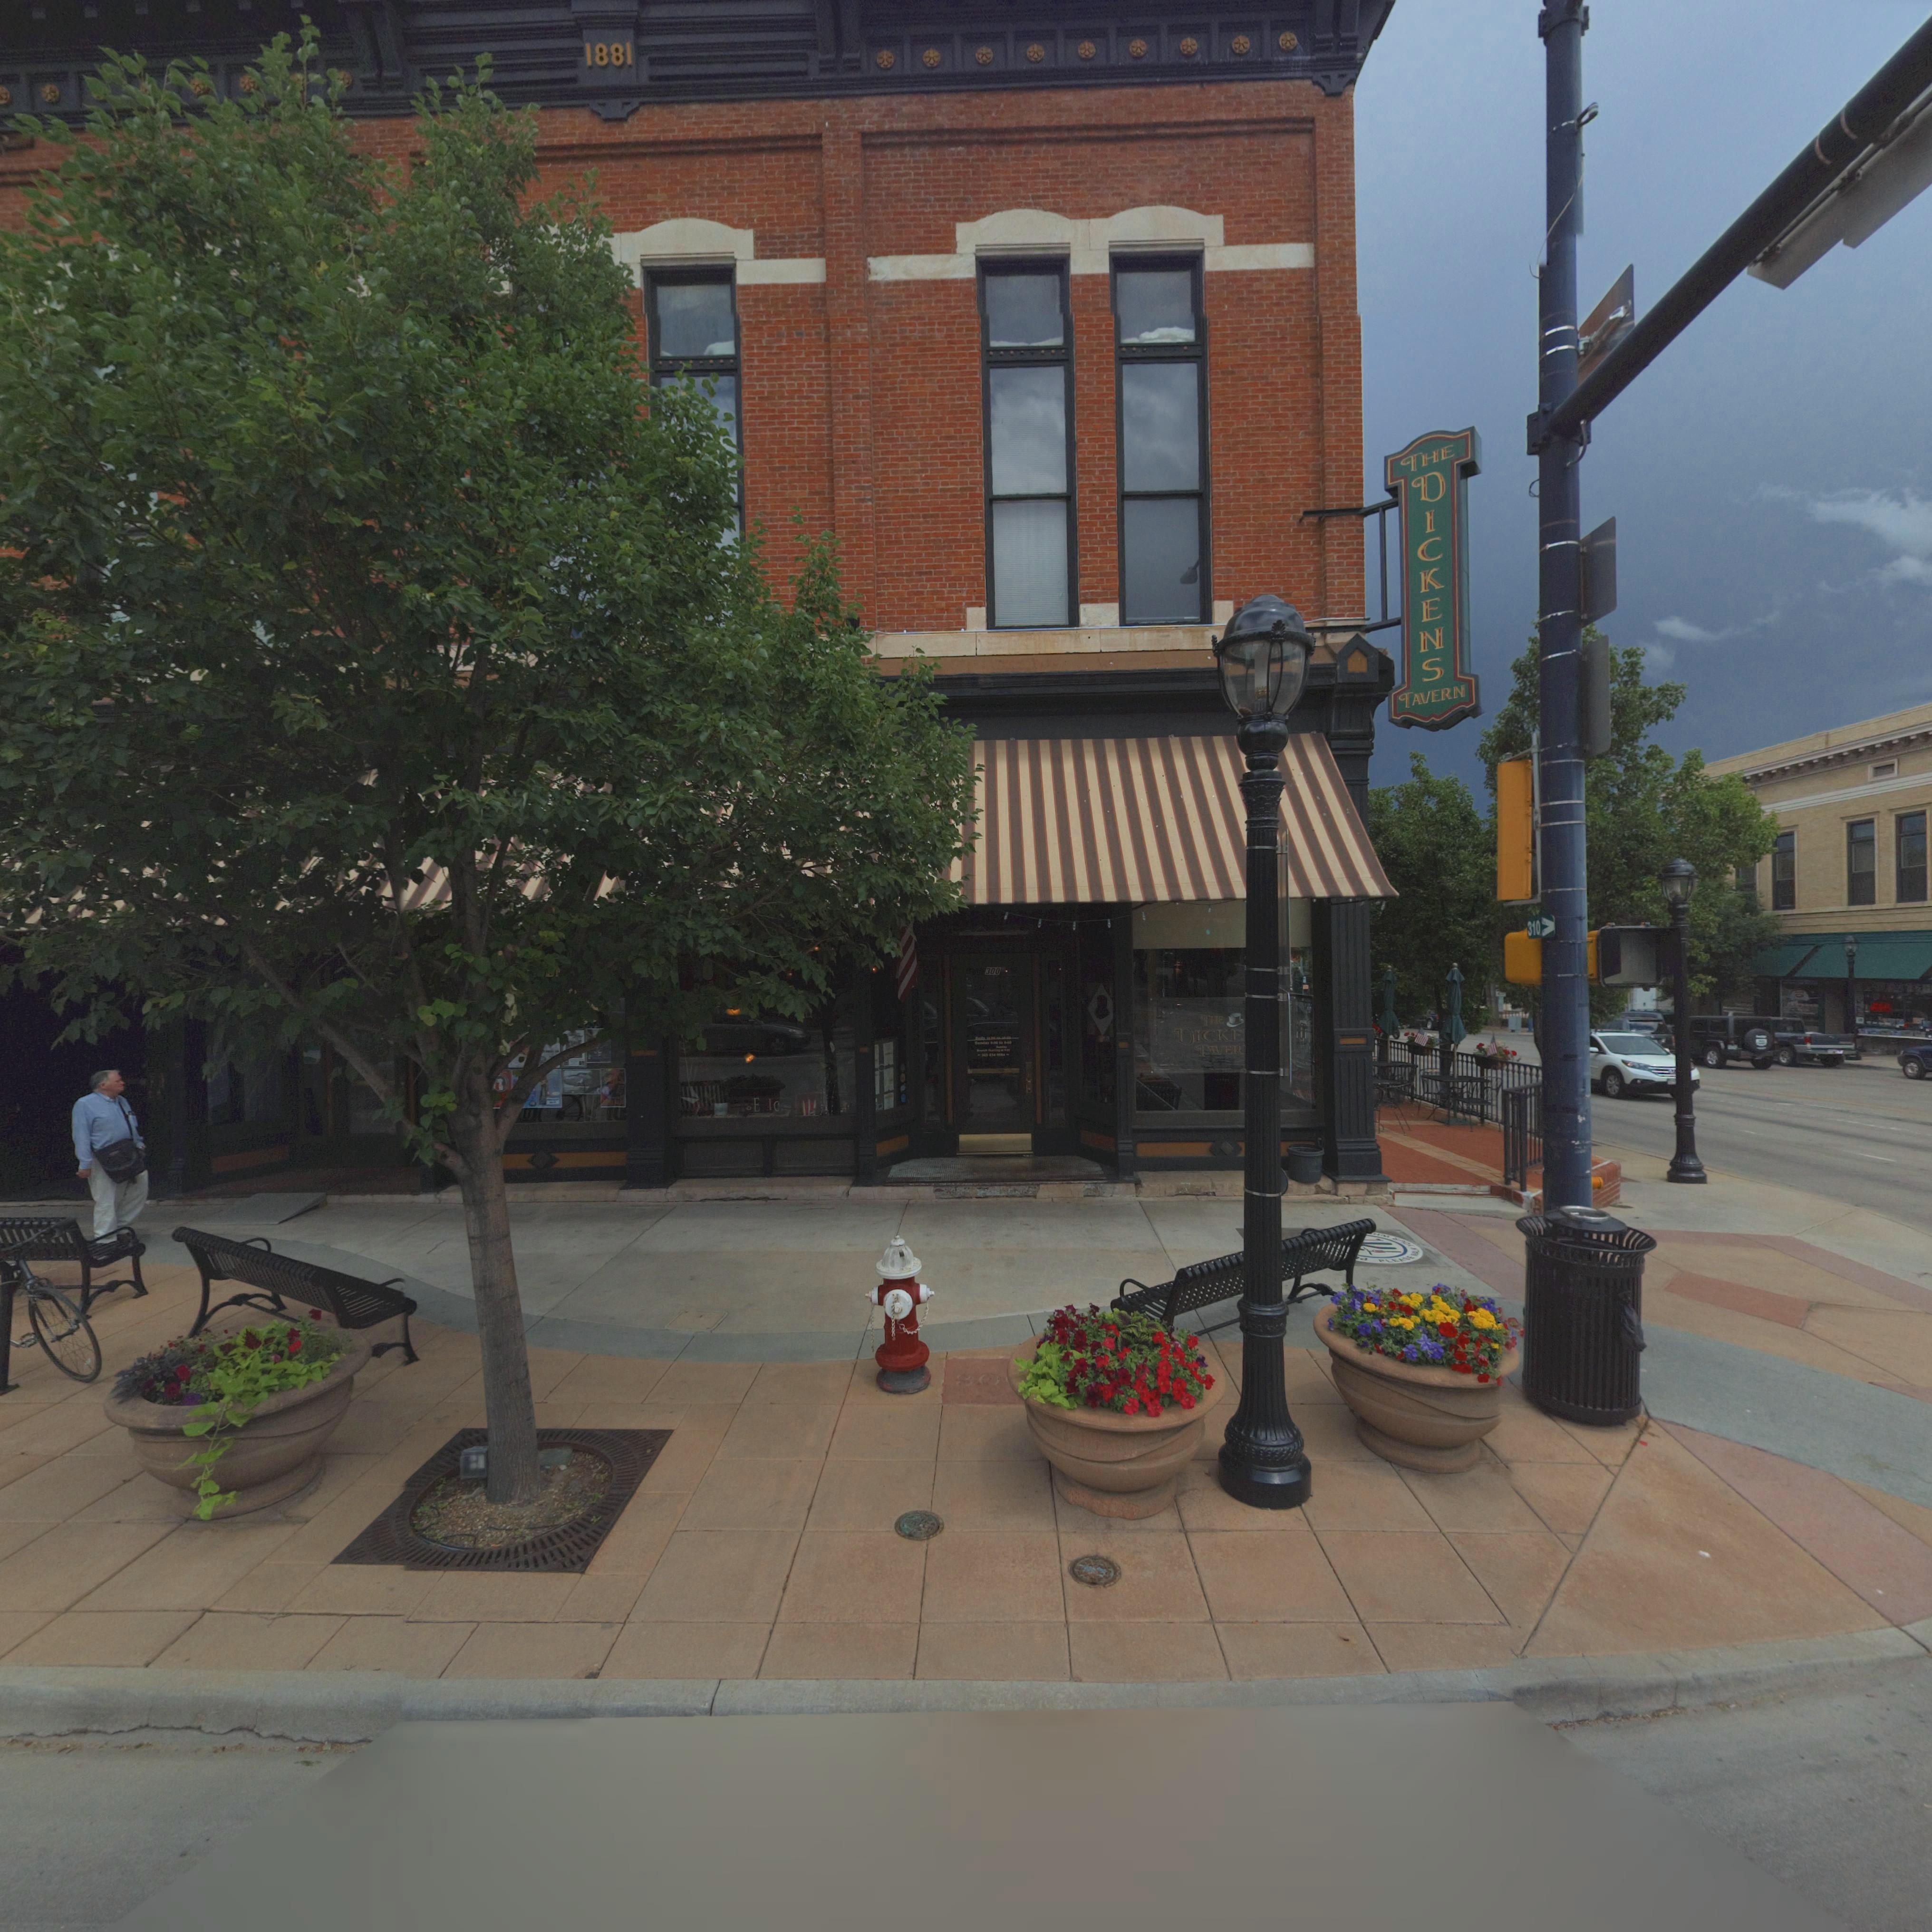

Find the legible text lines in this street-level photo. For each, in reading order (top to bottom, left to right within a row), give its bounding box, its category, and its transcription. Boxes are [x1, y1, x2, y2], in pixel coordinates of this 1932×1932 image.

[1399, 443, 1455, 472] BusinessName: THE
[1410, 469, 1447, 683] BusinessName: DICKENS
[1398, 684, 1466, 708] BusinessName: TAVERN
[985, 967, 1000, 974] StreetNumber: 300
[1199, 1014, 1225, 1026] BusinessName: THE
[1174, 1026, 1246, 1046] BusinessName: DICKE**
[1193, 1043, 1246, 1058] BusinessName: TAVER*